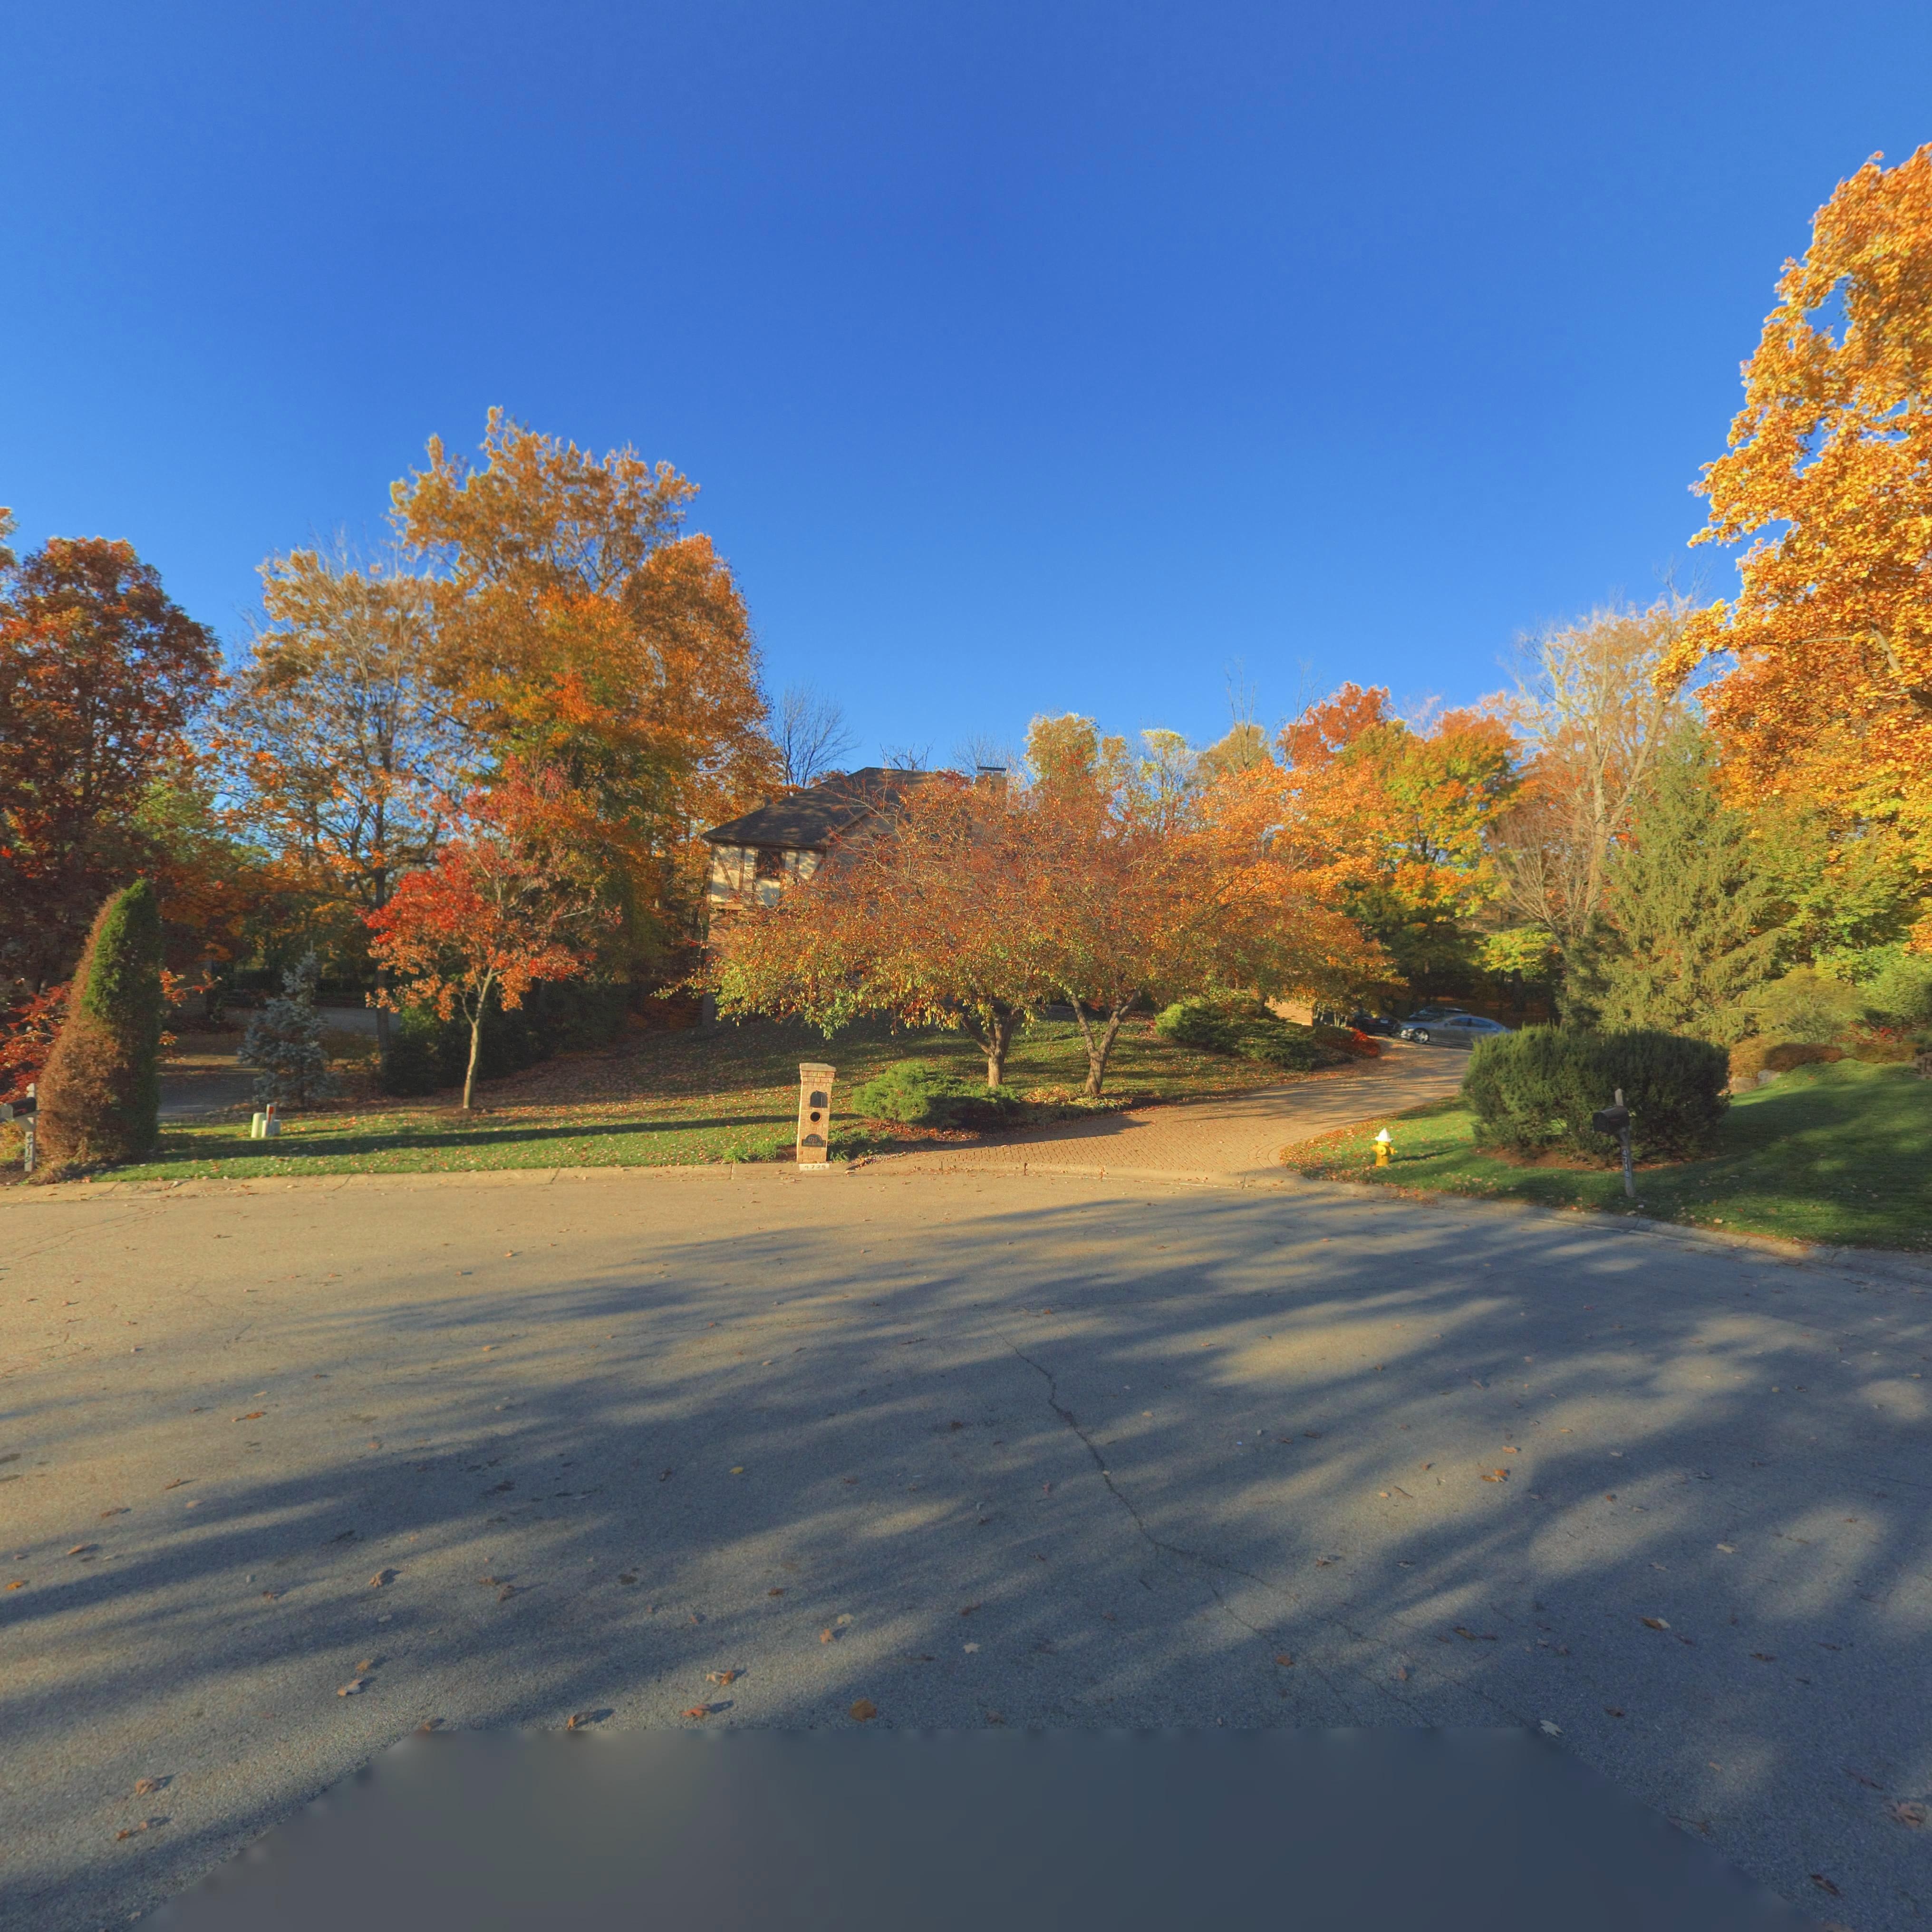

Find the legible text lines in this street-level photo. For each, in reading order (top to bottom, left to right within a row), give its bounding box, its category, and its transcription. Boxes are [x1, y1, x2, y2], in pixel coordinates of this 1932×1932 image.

[24, 1132, 33, 1165] StreetNumber: 4719
[807, 1136, 818, 1142] StreetNumber: 4725
[803, 1164, 827, 1170] StreetNumber: 472*
[1621, 1147, 1631, 1179] StreetNumber: 4718